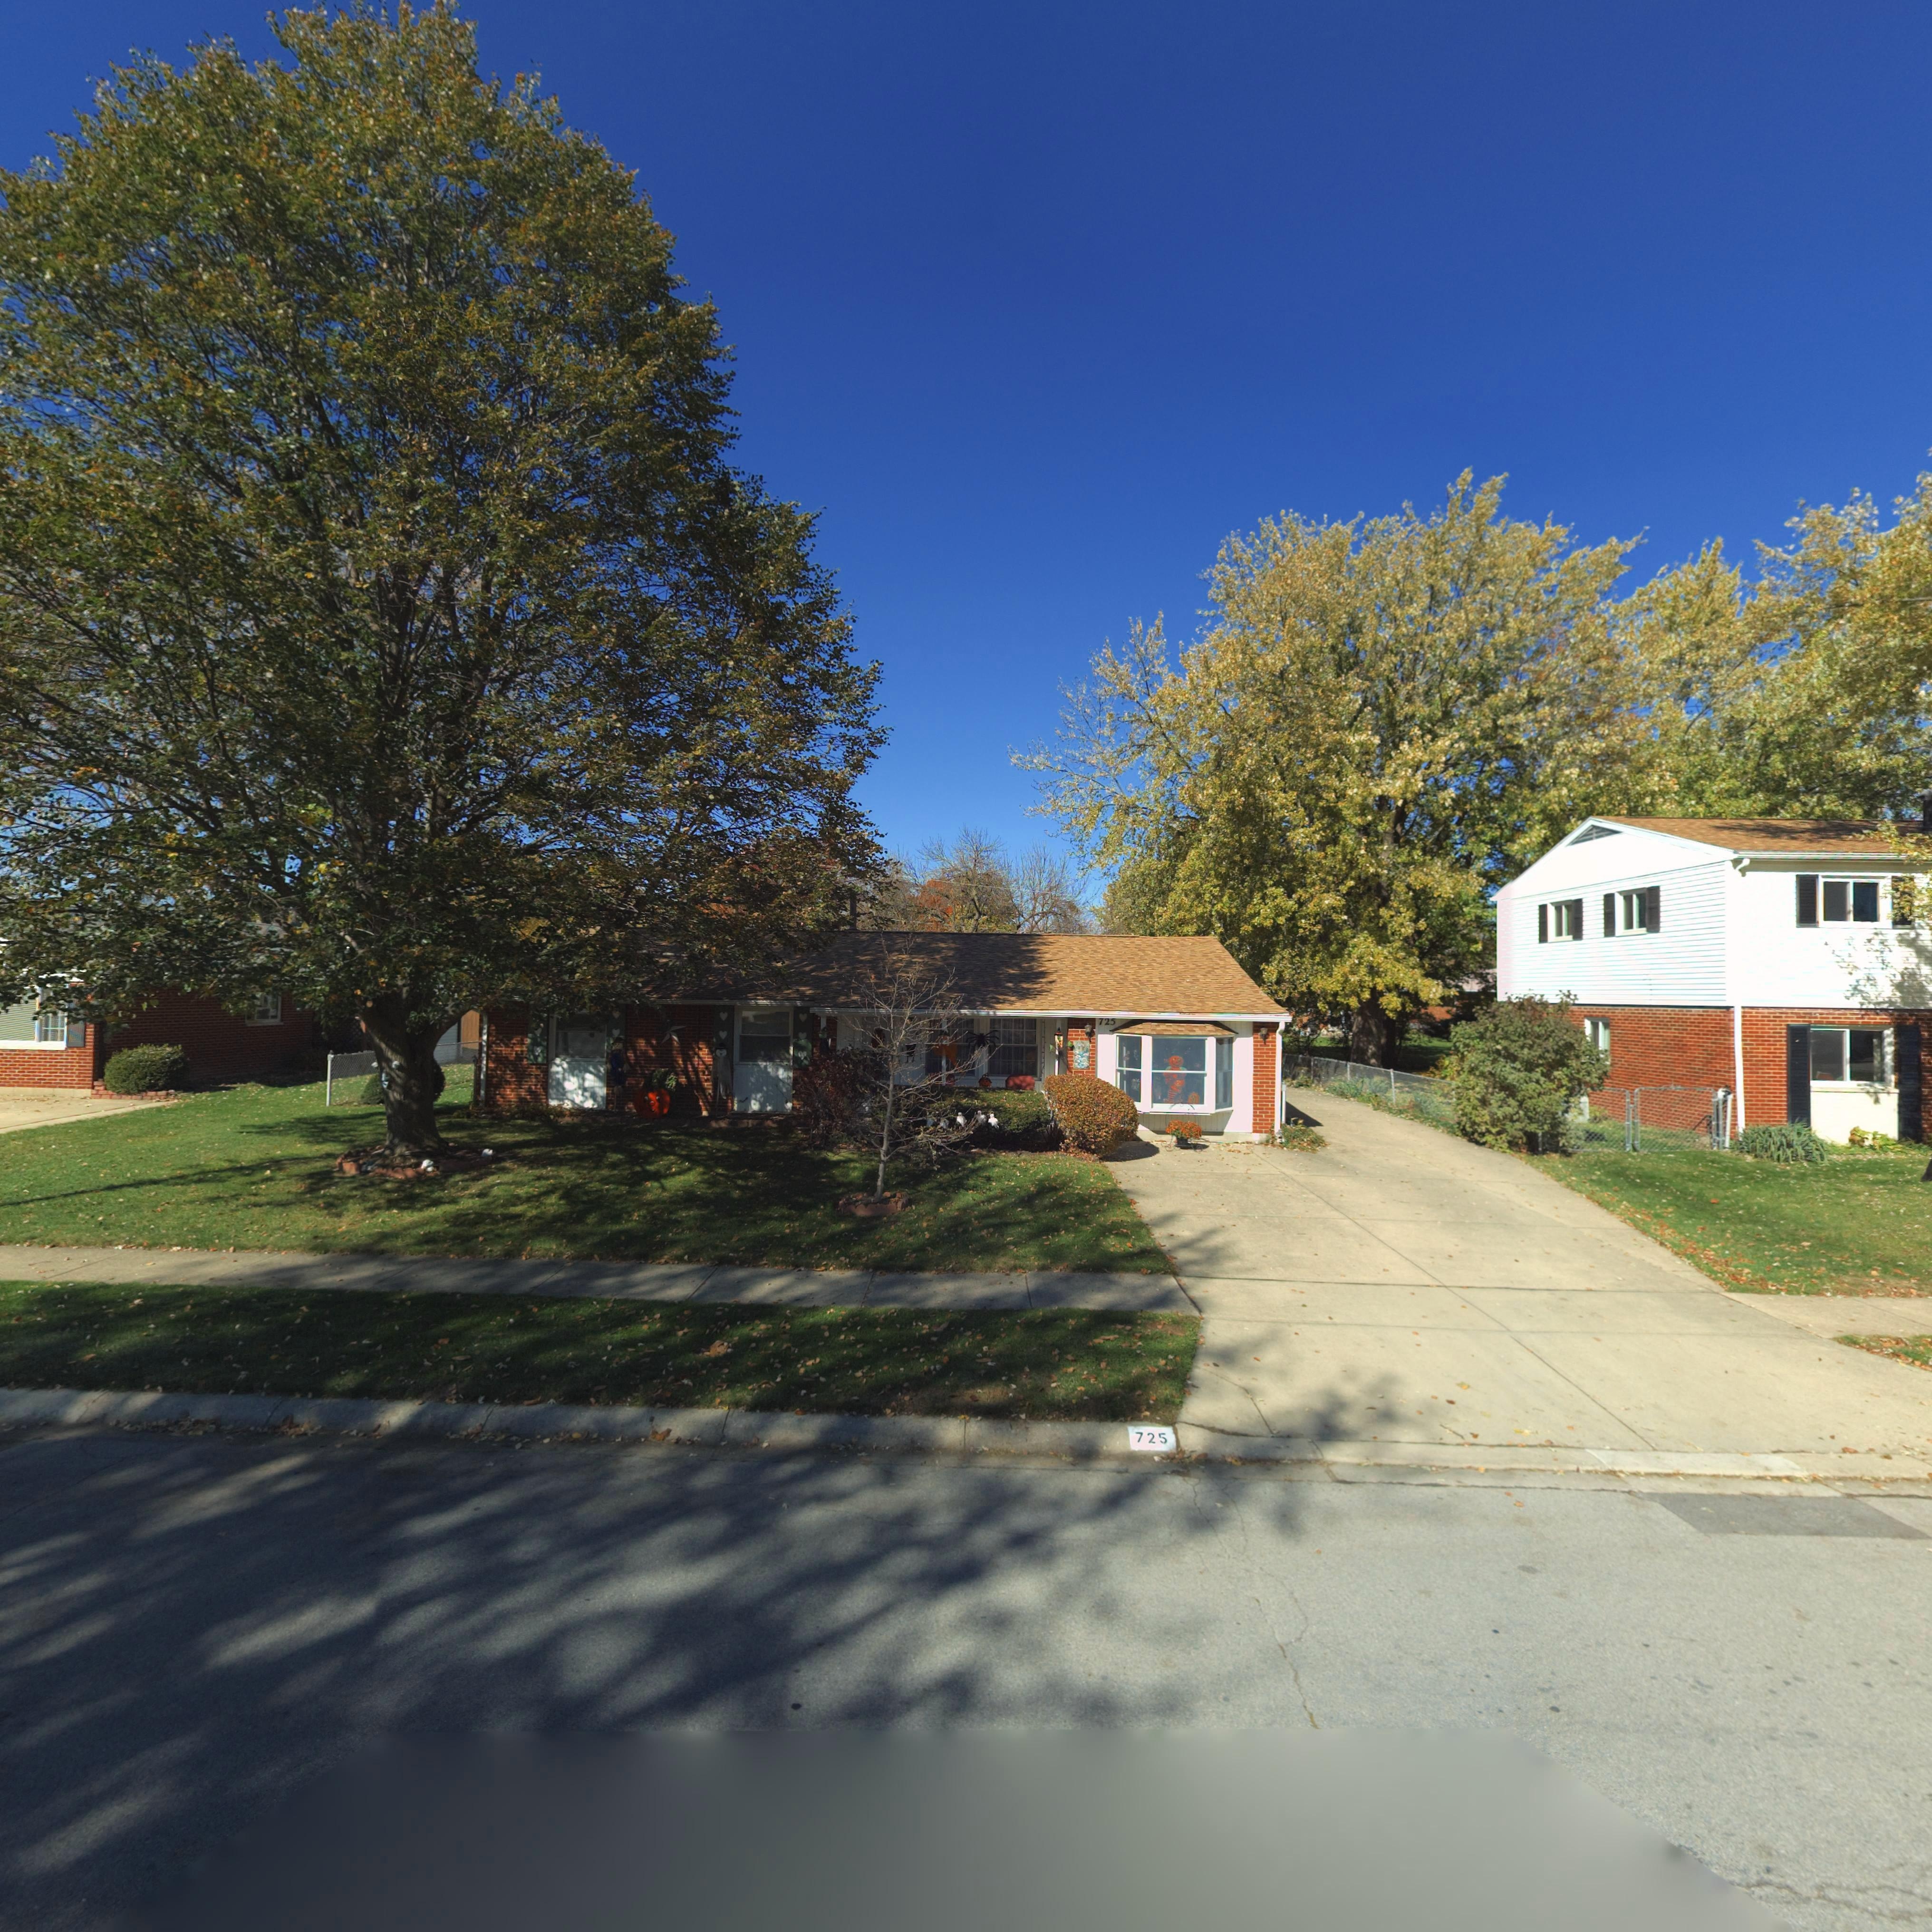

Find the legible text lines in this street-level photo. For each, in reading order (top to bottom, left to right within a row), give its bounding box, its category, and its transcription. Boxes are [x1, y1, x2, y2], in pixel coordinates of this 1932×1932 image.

[1099, 1018, 1116, 1025] StreetNumber: 725
[1135, 1431, 1168, 1444] StreetNumber: 725